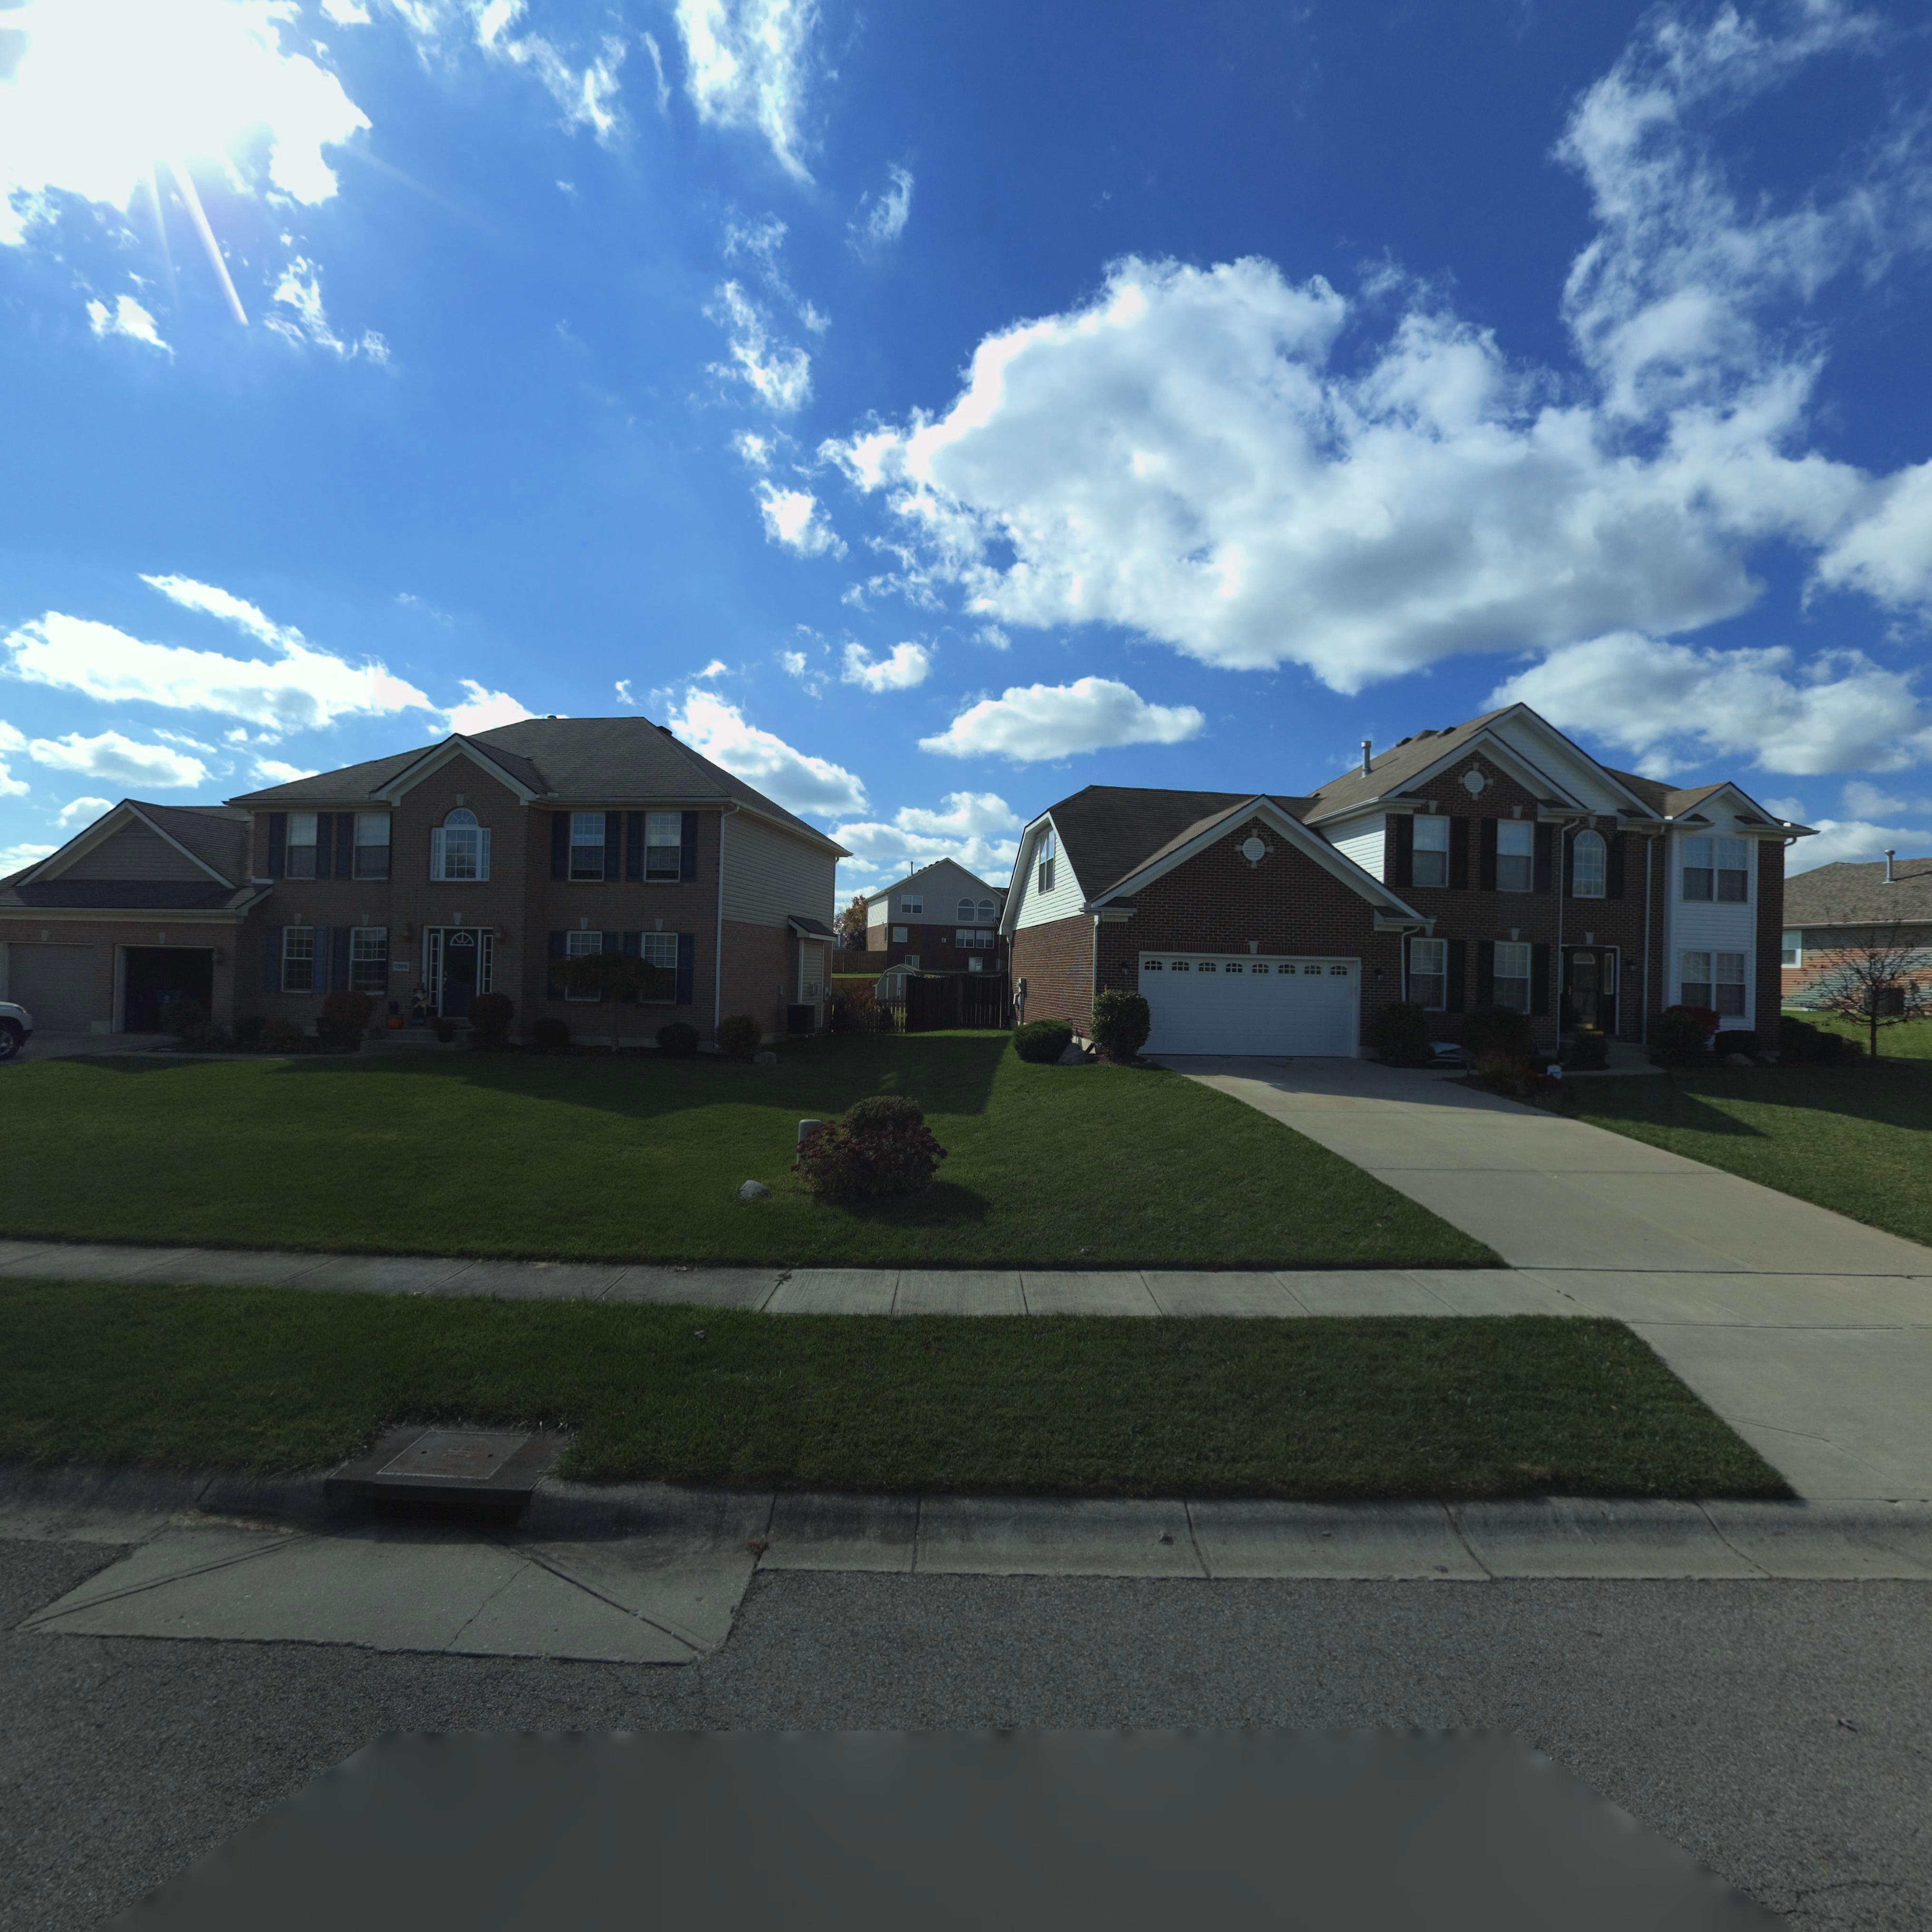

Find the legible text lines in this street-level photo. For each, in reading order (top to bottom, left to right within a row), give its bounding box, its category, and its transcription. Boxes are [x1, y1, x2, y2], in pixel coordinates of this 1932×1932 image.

[394, 963, 409, 970] StreetNumber: 7398